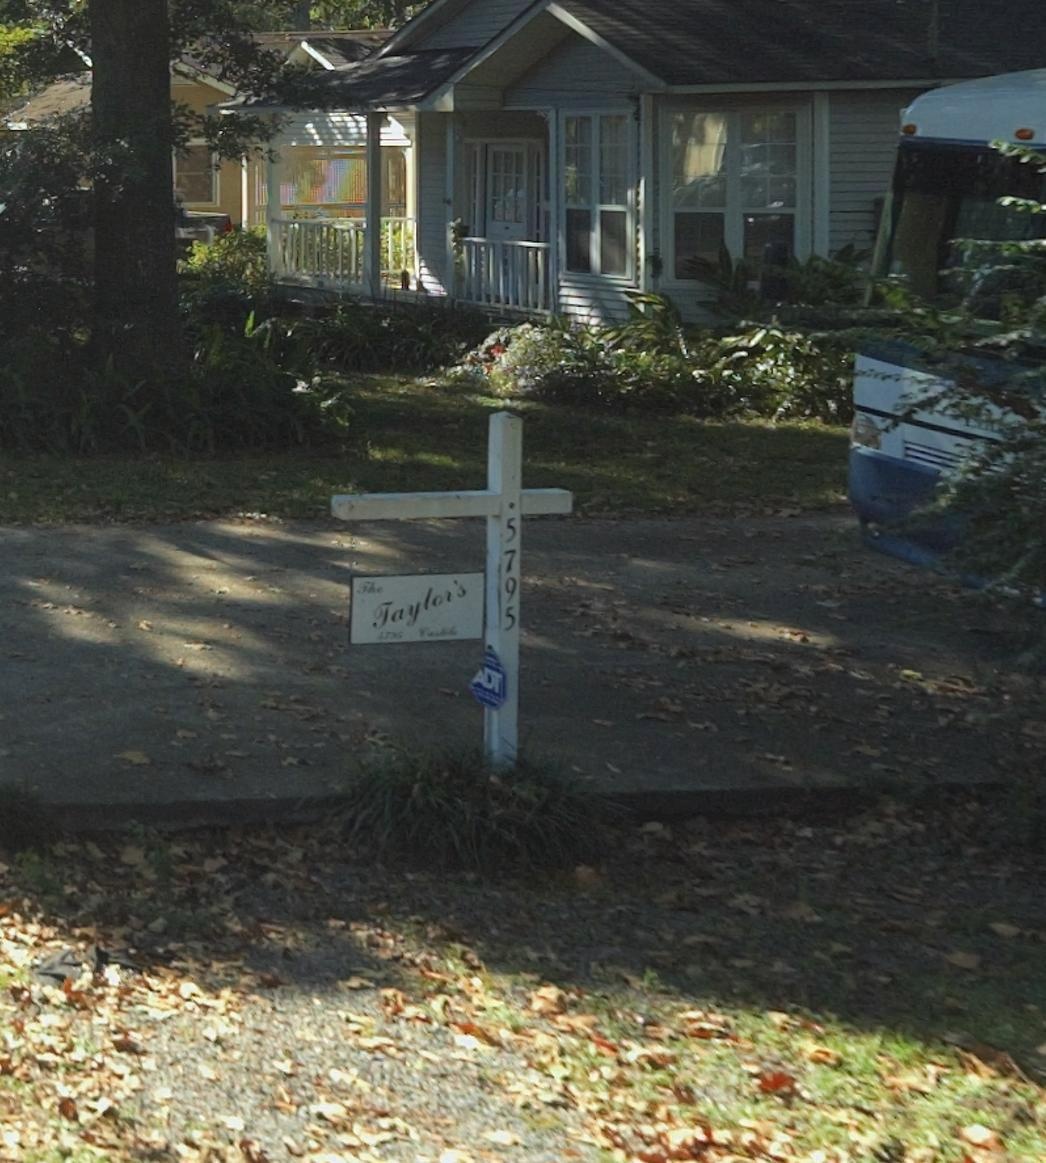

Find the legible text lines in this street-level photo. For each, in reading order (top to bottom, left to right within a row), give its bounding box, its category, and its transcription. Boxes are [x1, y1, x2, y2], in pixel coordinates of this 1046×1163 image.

[354, 579, 384, 597] None: The
[371, 579, 469, 631] None: Taylor's
[500, 516, 519, 633] StreetNumber: 5795
[468, 665, 506, 695] None: ADT